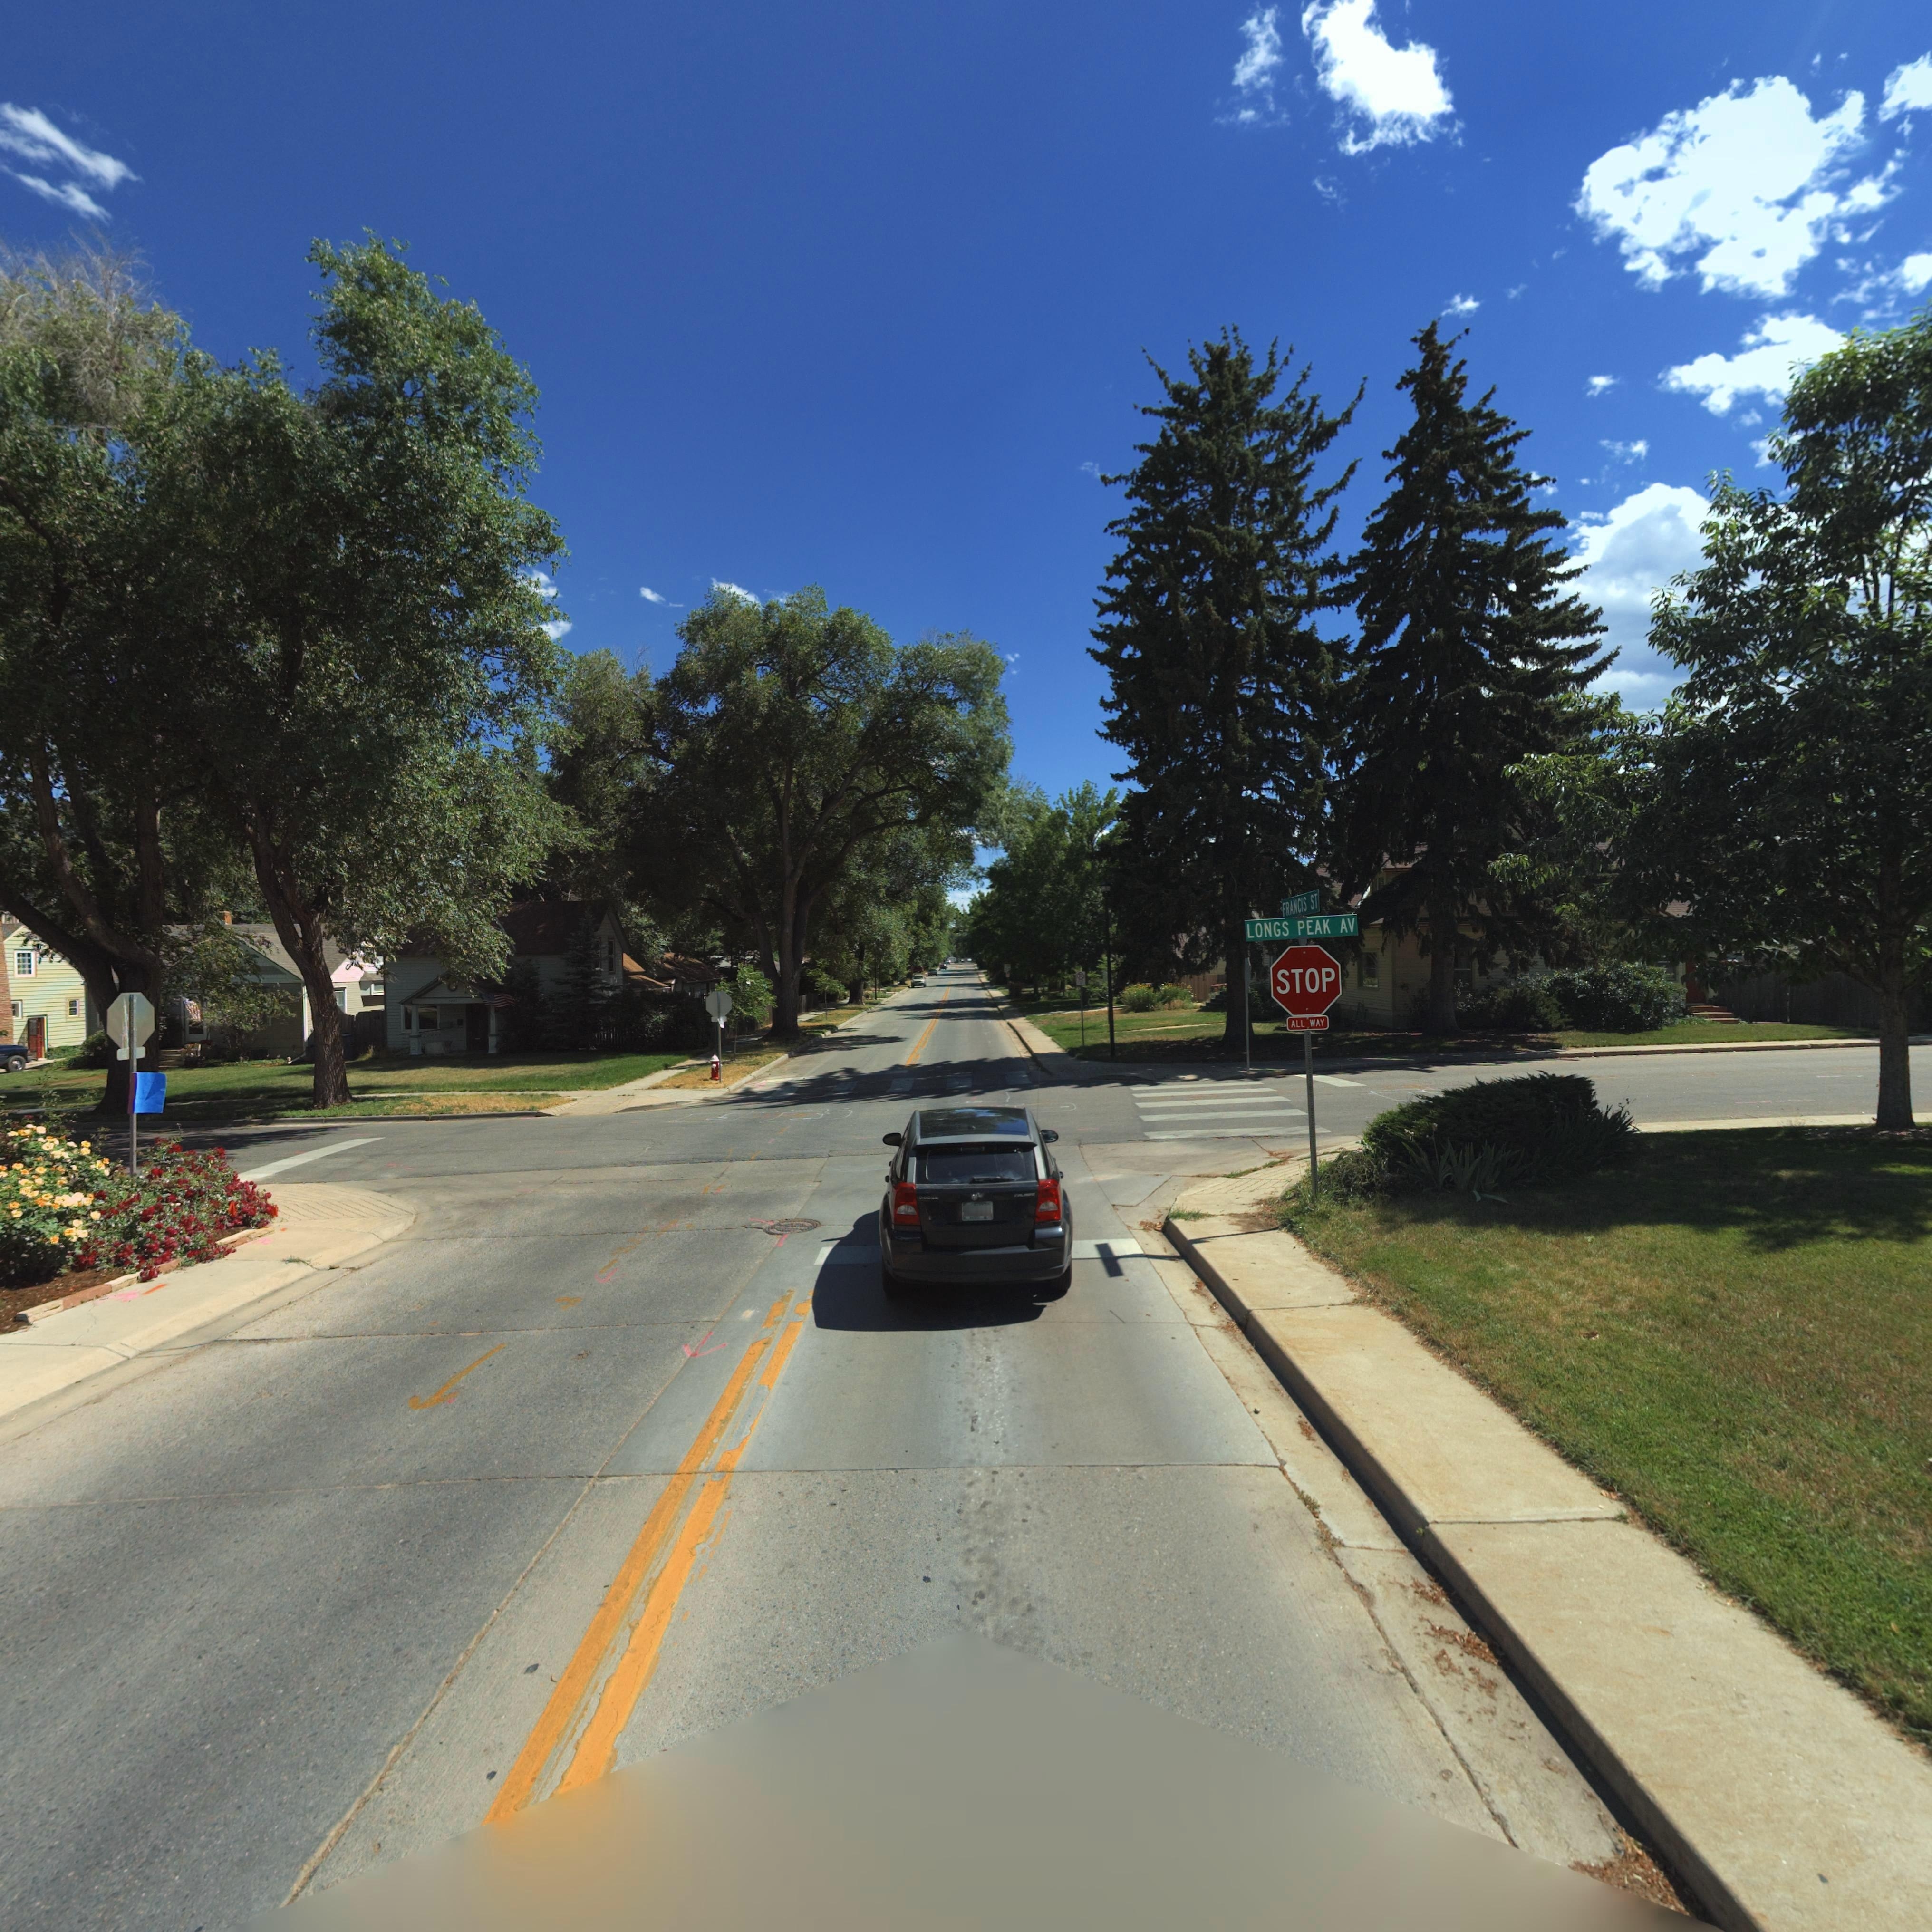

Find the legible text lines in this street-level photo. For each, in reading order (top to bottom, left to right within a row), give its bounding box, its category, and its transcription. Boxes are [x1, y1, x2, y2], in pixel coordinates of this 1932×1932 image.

[1281, 892, 1318, 918] StreetName: FRANCIS ST
[1246, 917, 1355, 939] StreetName: LONGS PEAK AV